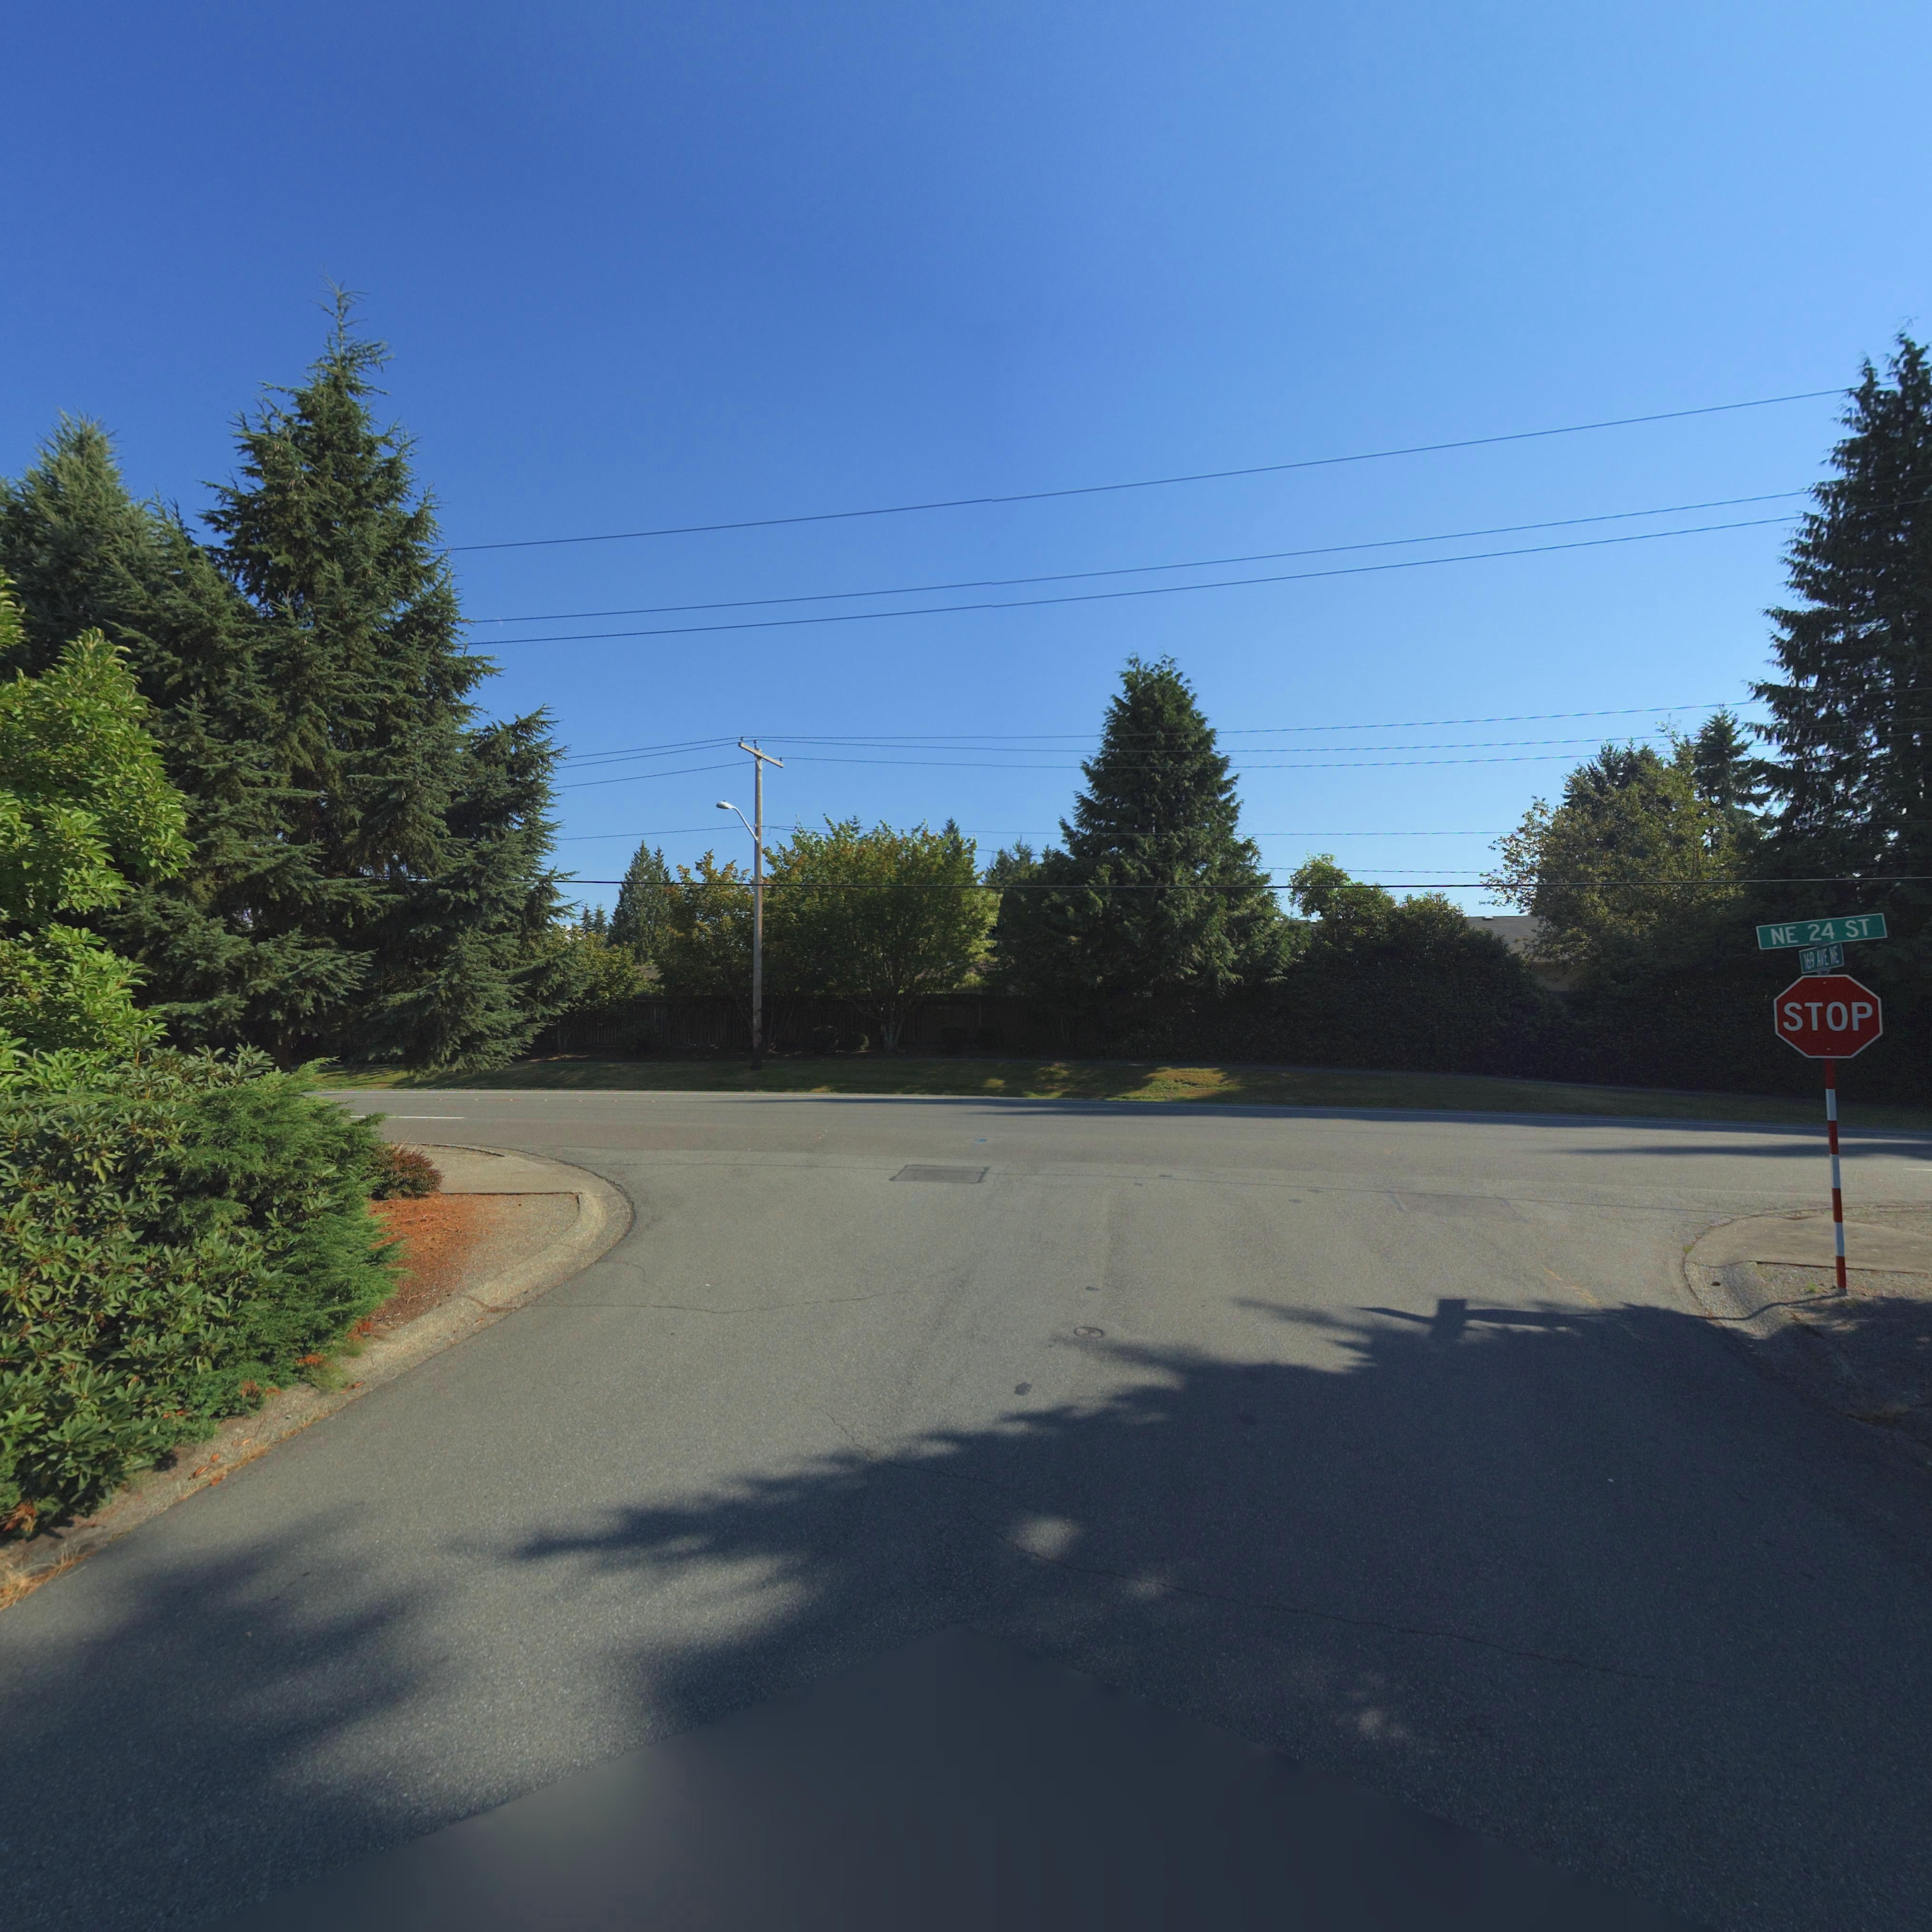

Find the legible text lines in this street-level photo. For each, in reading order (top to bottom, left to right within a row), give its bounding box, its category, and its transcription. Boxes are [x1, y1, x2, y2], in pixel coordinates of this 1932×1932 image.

[1769, 917, 1870, 945] StreetName: NE 24 ST
[1801, 945, 1840, 972] StreetName: 169 AVE NE